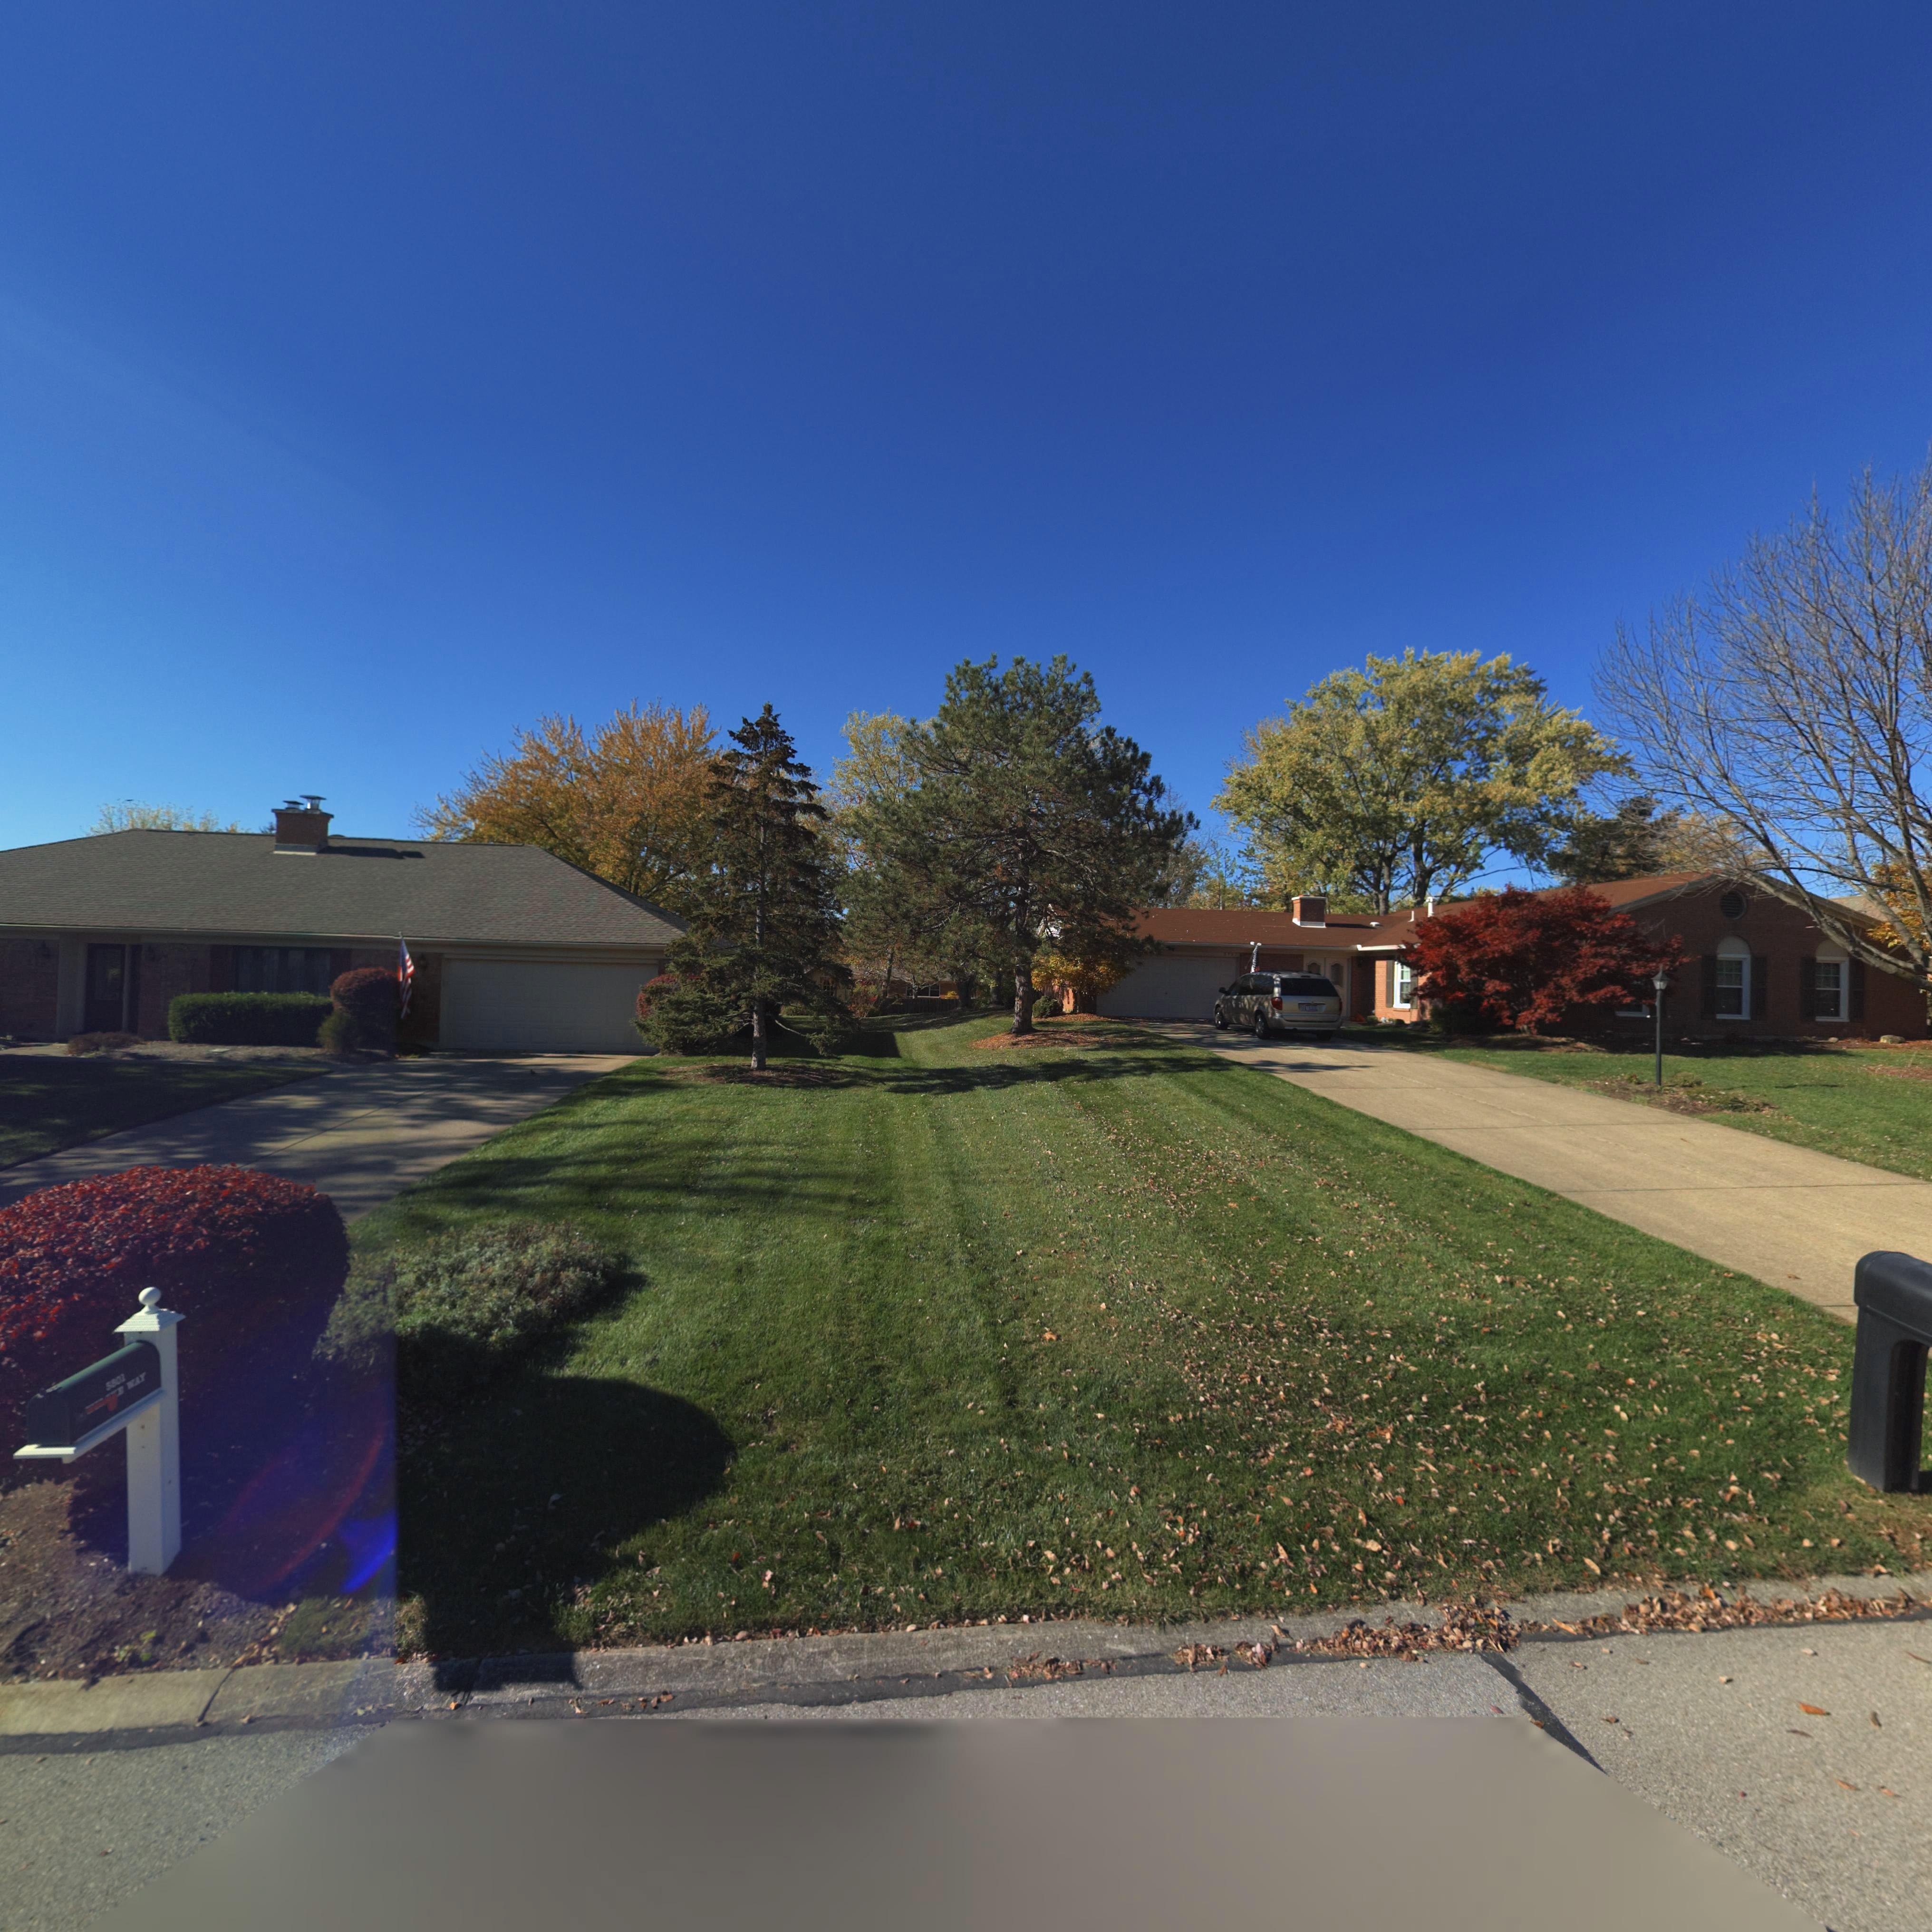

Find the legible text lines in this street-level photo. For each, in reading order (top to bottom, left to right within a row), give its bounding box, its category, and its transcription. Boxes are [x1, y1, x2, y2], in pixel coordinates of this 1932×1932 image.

[104, 1369, 129, 1394] StreetNumber: 5801
[116, 1370, 147, 1398] StreetName: E*WAY